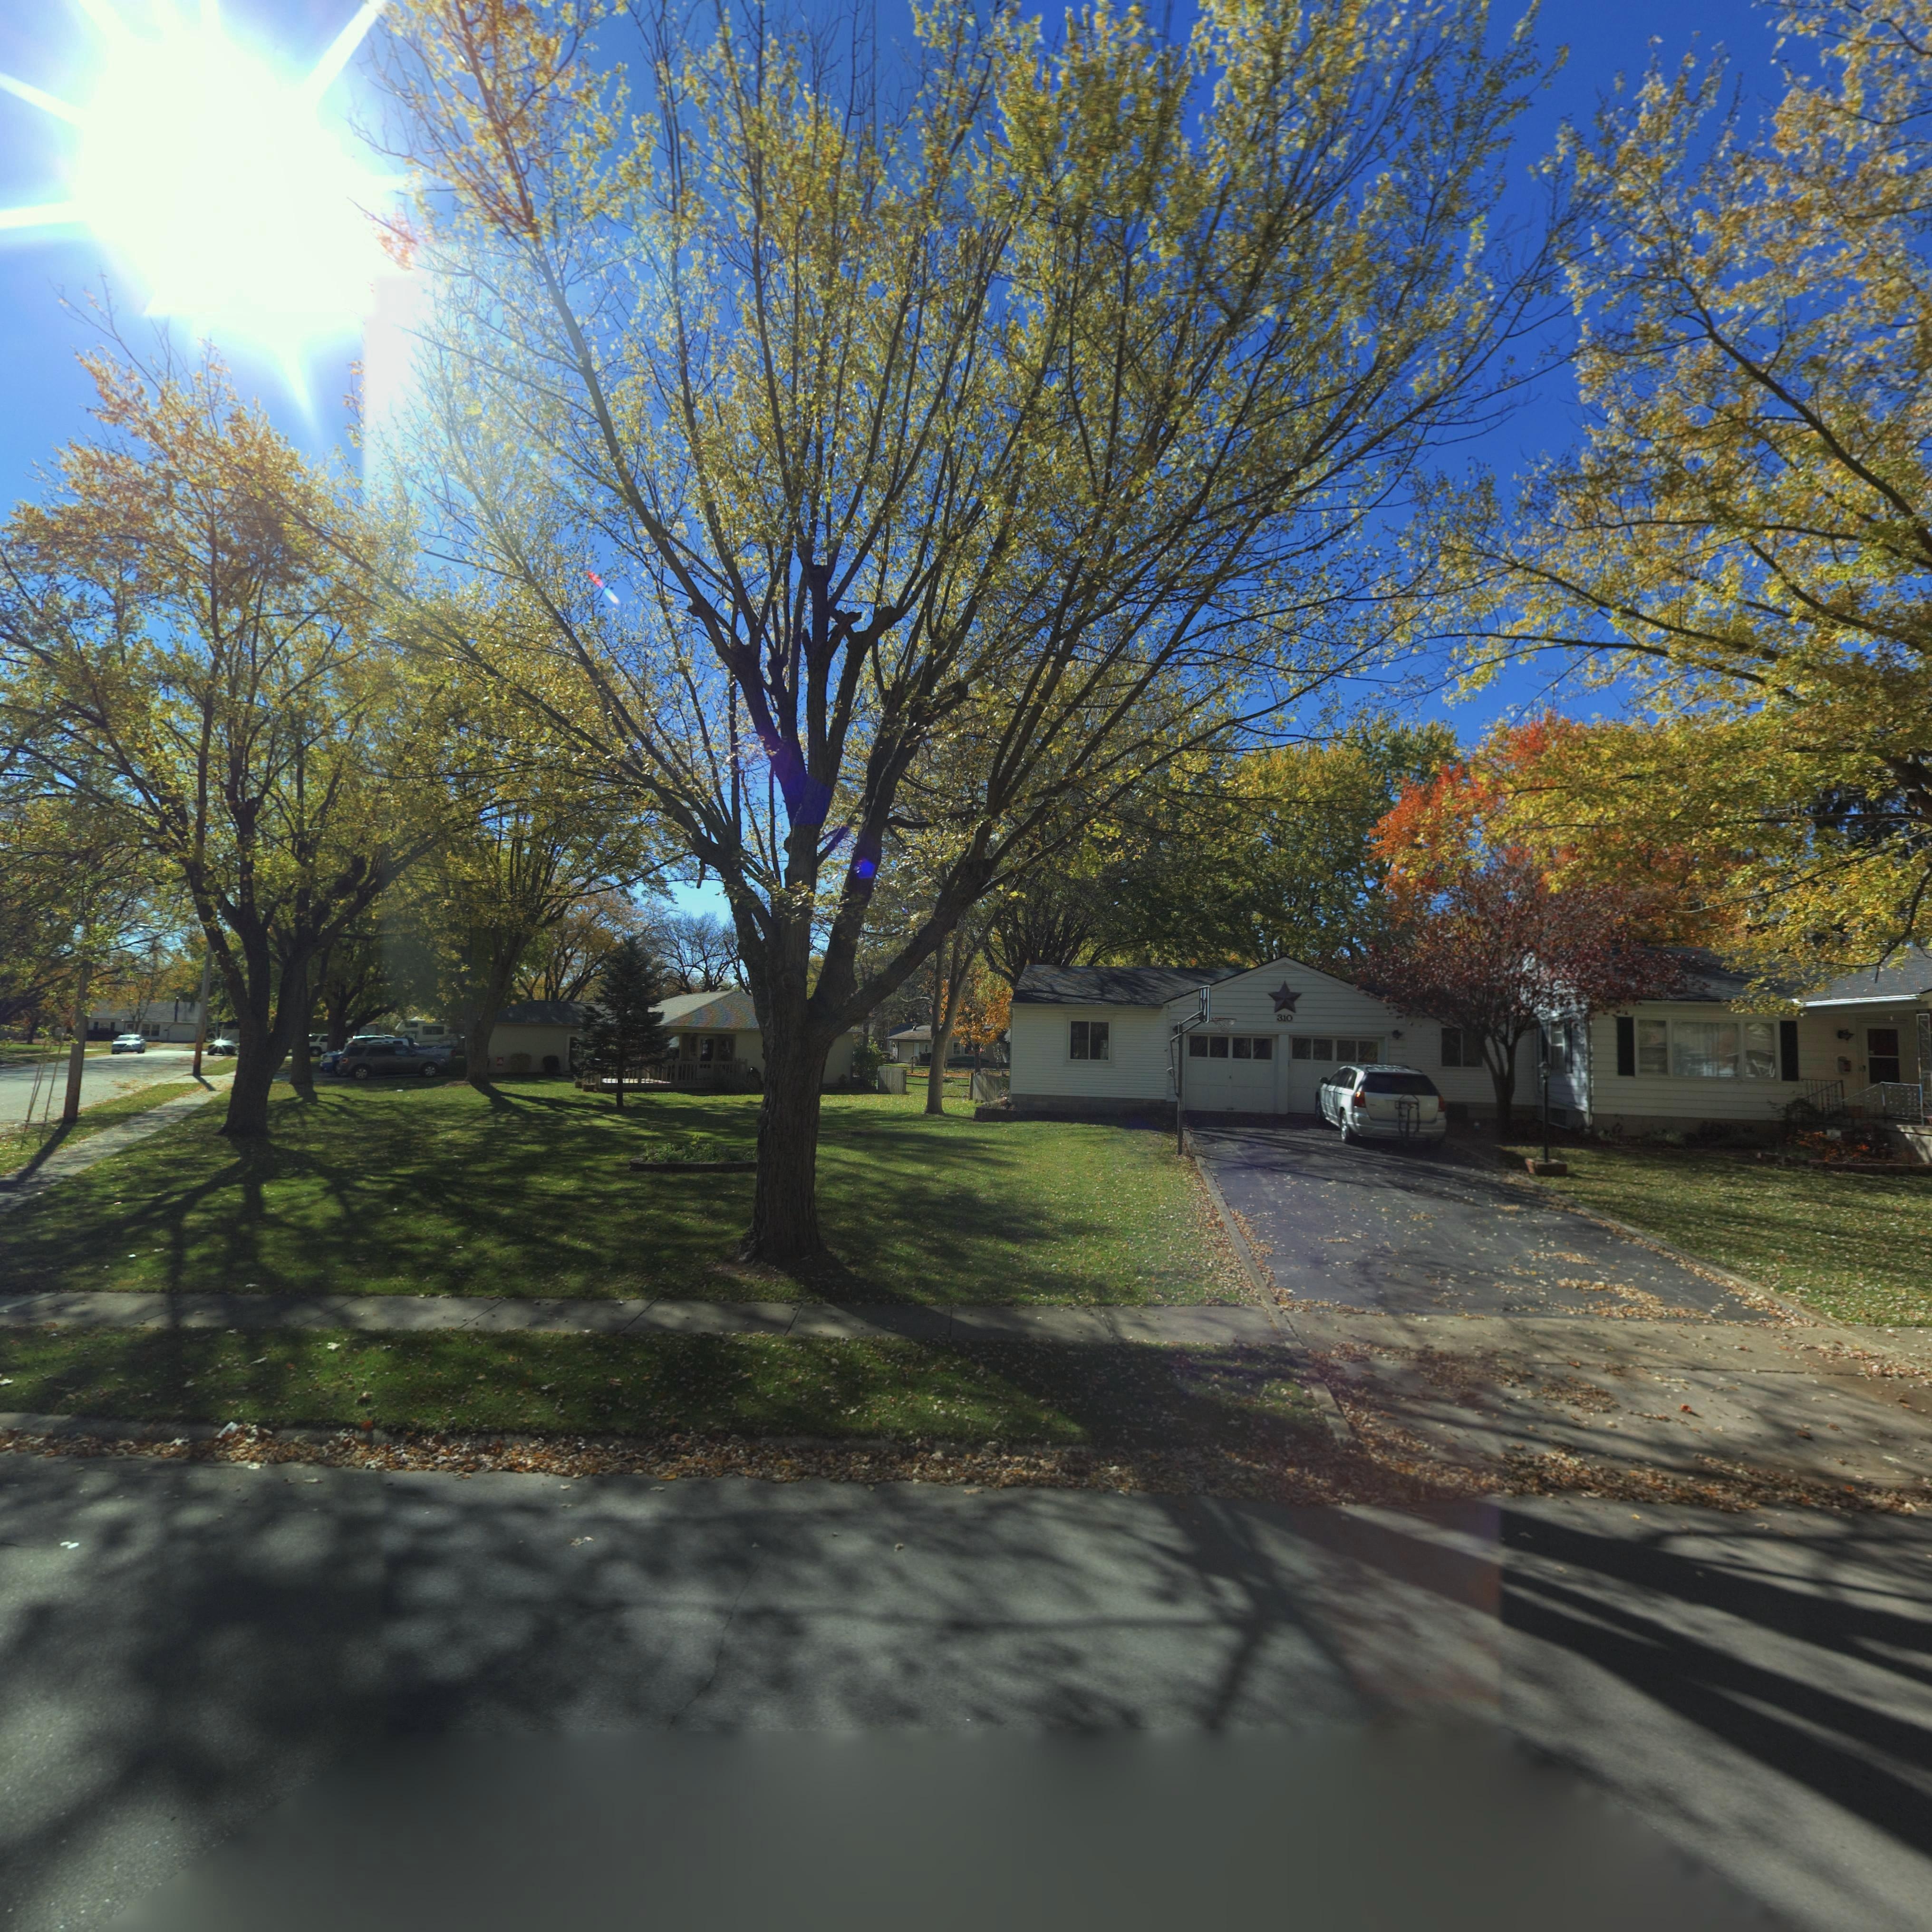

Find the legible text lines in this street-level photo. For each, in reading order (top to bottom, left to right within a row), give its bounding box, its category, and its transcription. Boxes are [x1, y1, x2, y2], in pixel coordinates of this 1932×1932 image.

[1276, 1014, 1294, 1023] StreetNumber: 310